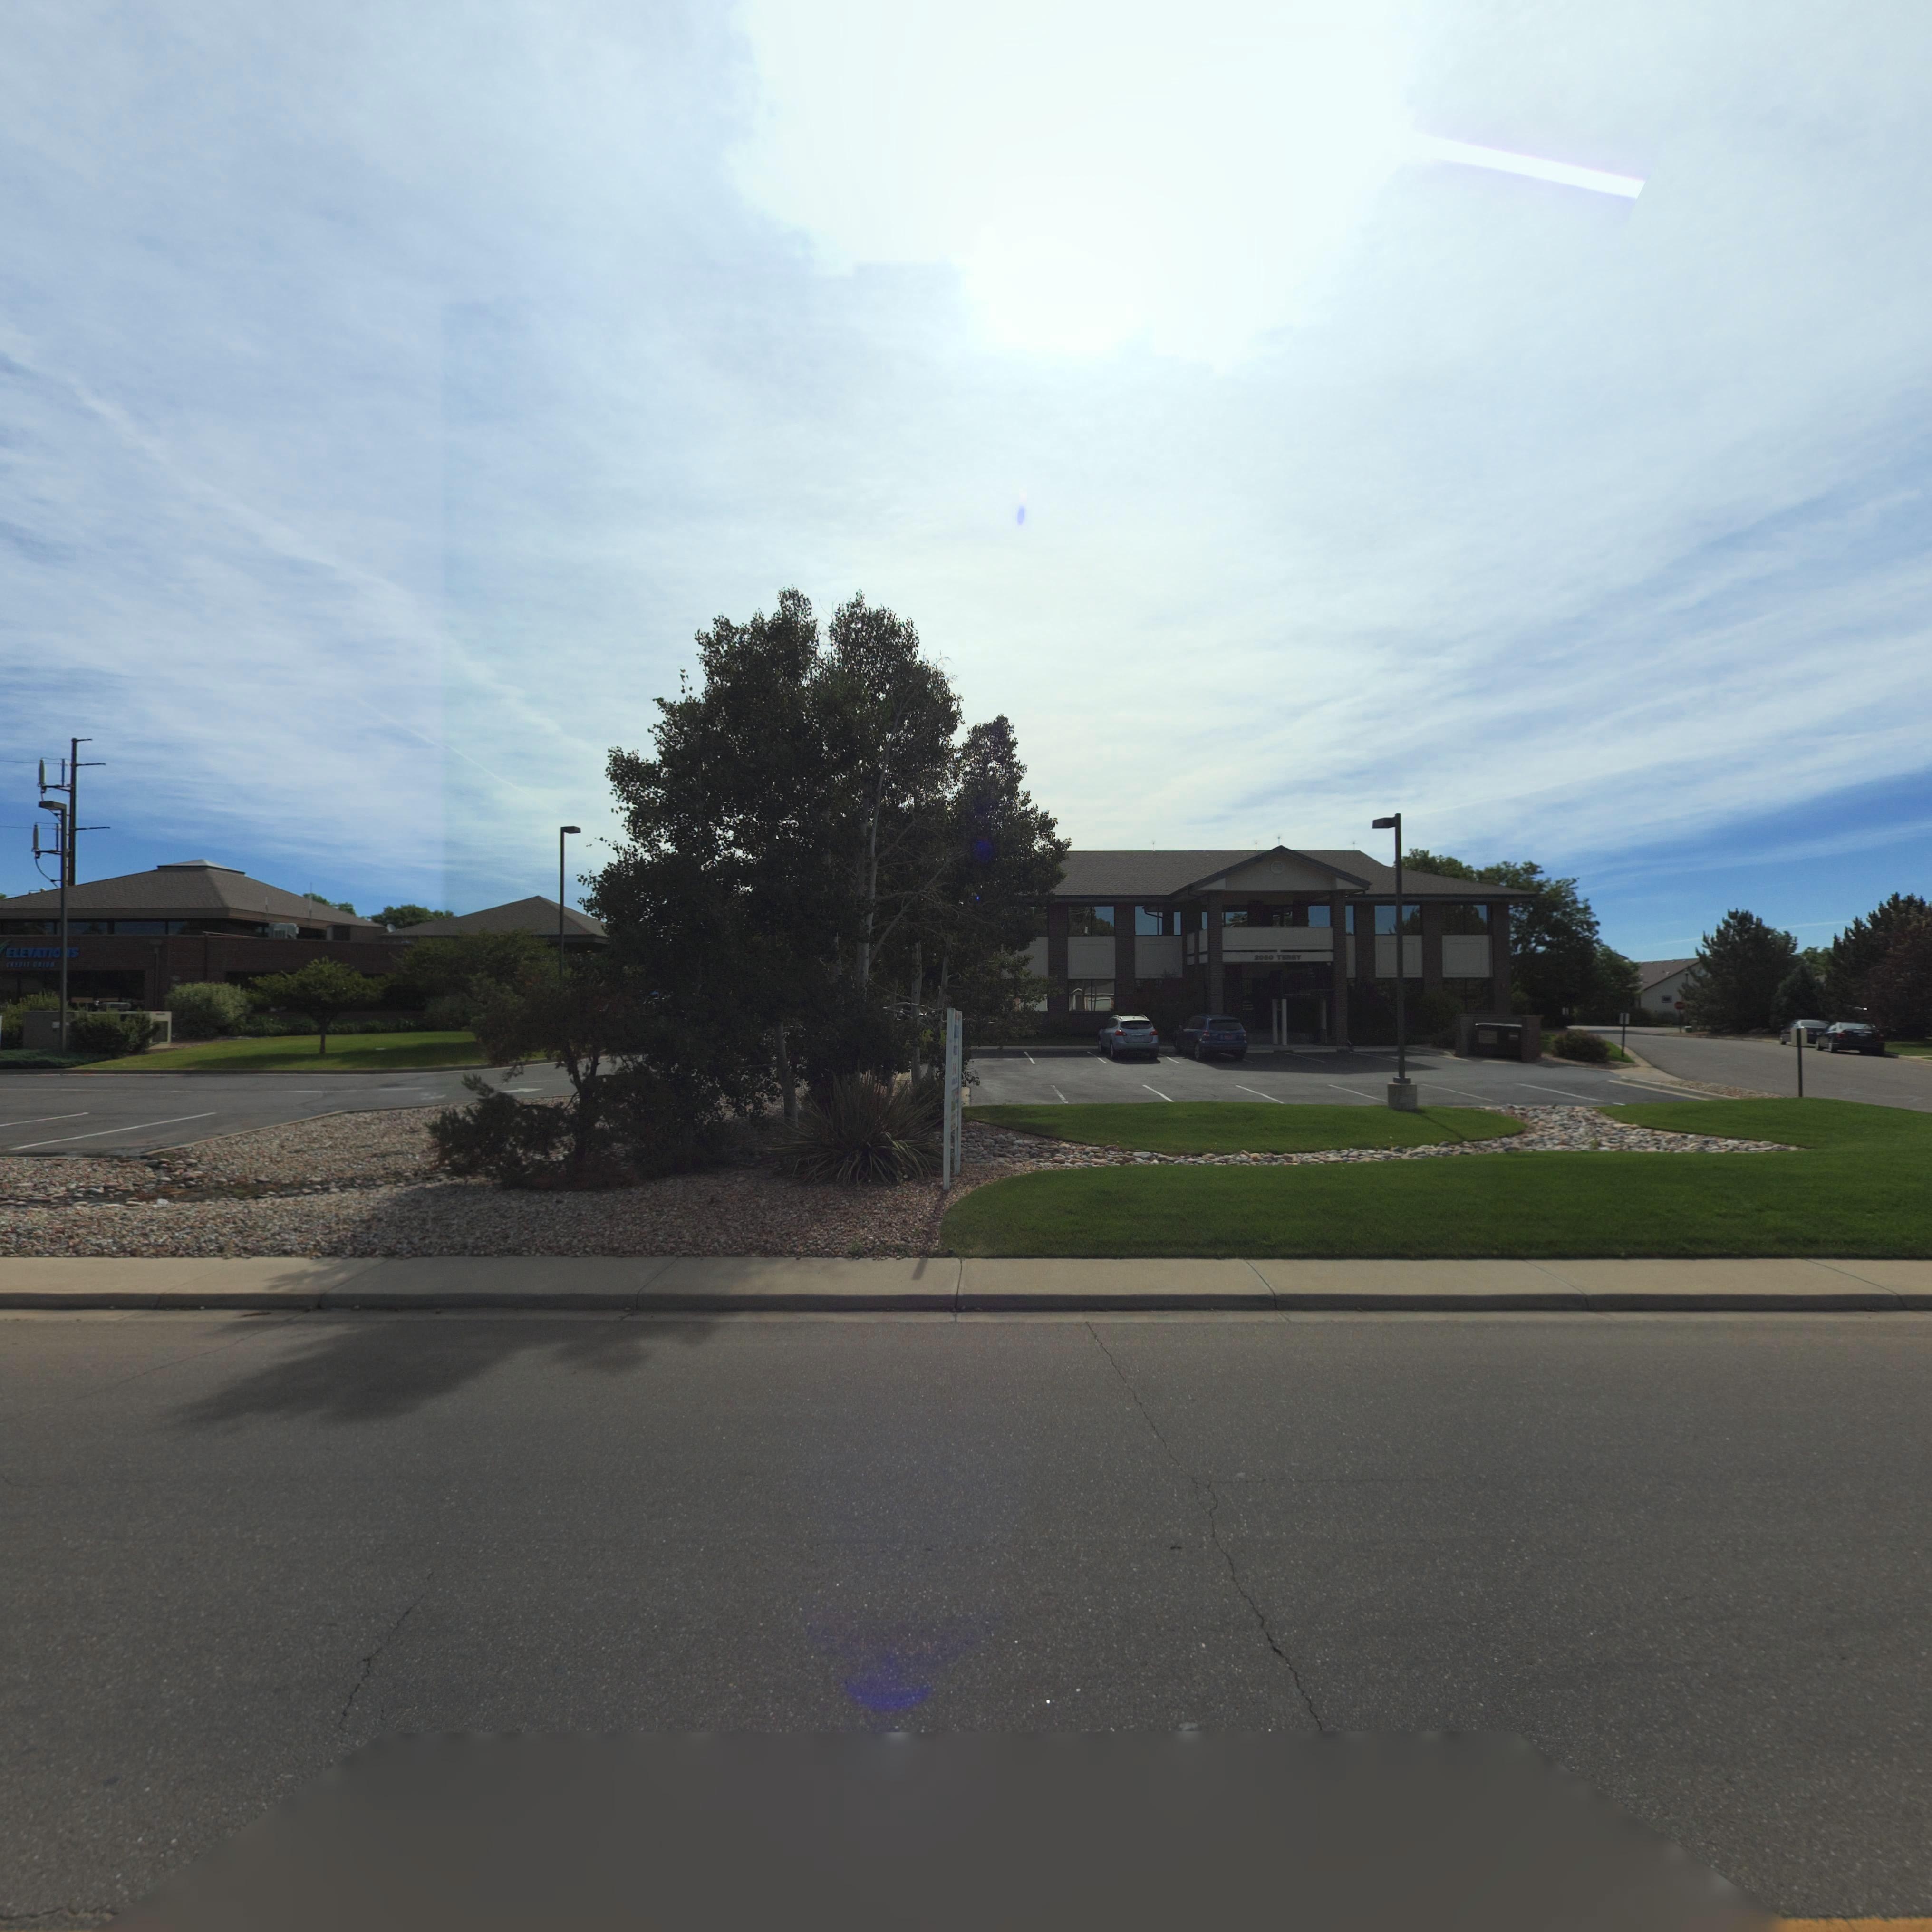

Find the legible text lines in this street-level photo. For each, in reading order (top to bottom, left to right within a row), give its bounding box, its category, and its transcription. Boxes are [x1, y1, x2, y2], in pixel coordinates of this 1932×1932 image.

[5, 947, 79, 959] BusinessName: ELEVATIO*S
[1254, 954, 1274, 960] StreetNumber: 2050
[1276, 954, 1302, 960] StreetName: TERRY
[5, 961, 55, 968] BusinessName: C***IT **IO*